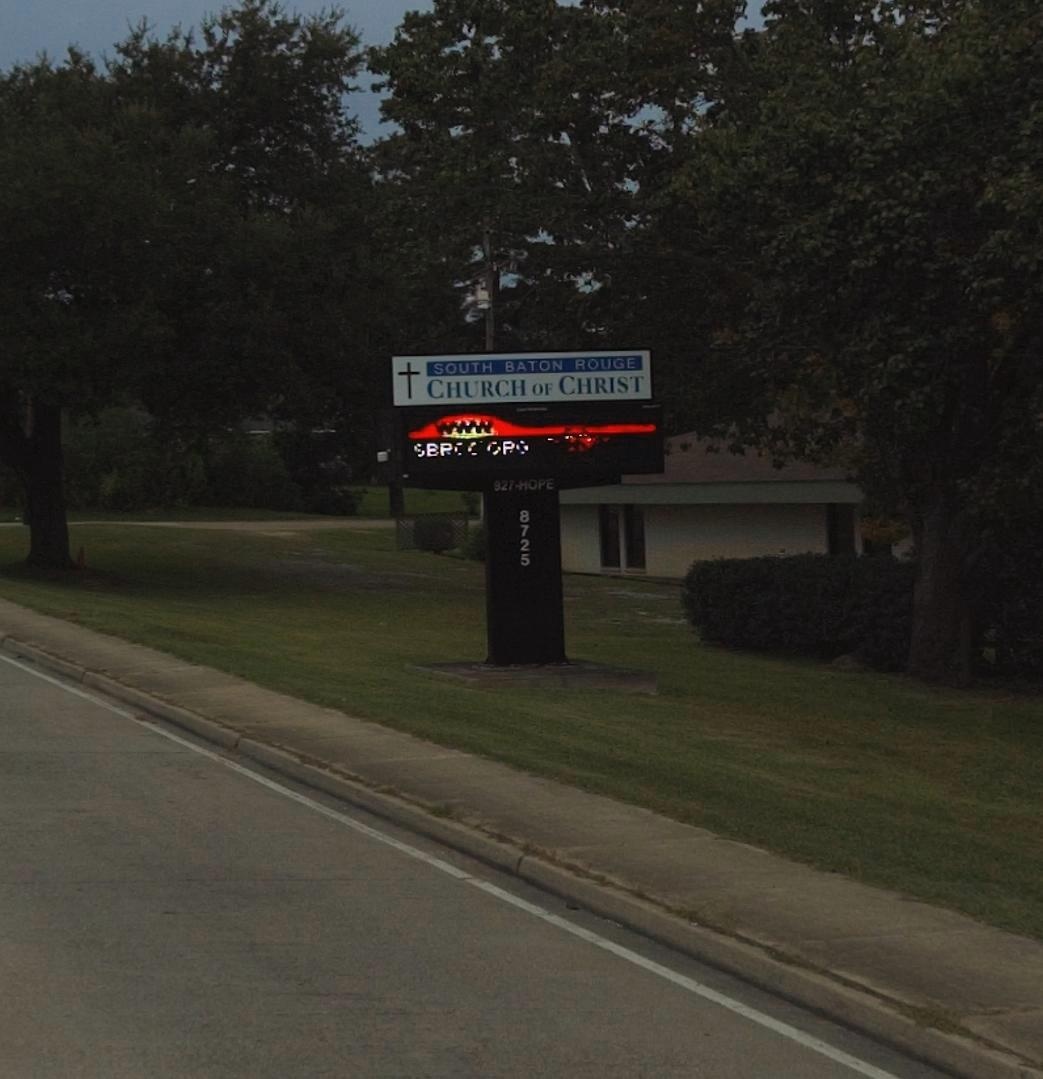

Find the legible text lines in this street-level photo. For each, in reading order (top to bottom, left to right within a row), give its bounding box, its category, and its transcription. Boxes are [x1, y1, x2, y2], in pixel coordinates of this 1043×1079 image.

[433, 356, 637, 376] BusinessName: SOUTH BATON ROUGE
[426, 375, 647, 399] BusinessName: CHURCH OF CHRIST
[412, 438, 530, 460] None: SBR***R*
[493, 477, 555, 492] None: 927-HOPE
[517, 509, 531, 567] StreetNumber: 8725